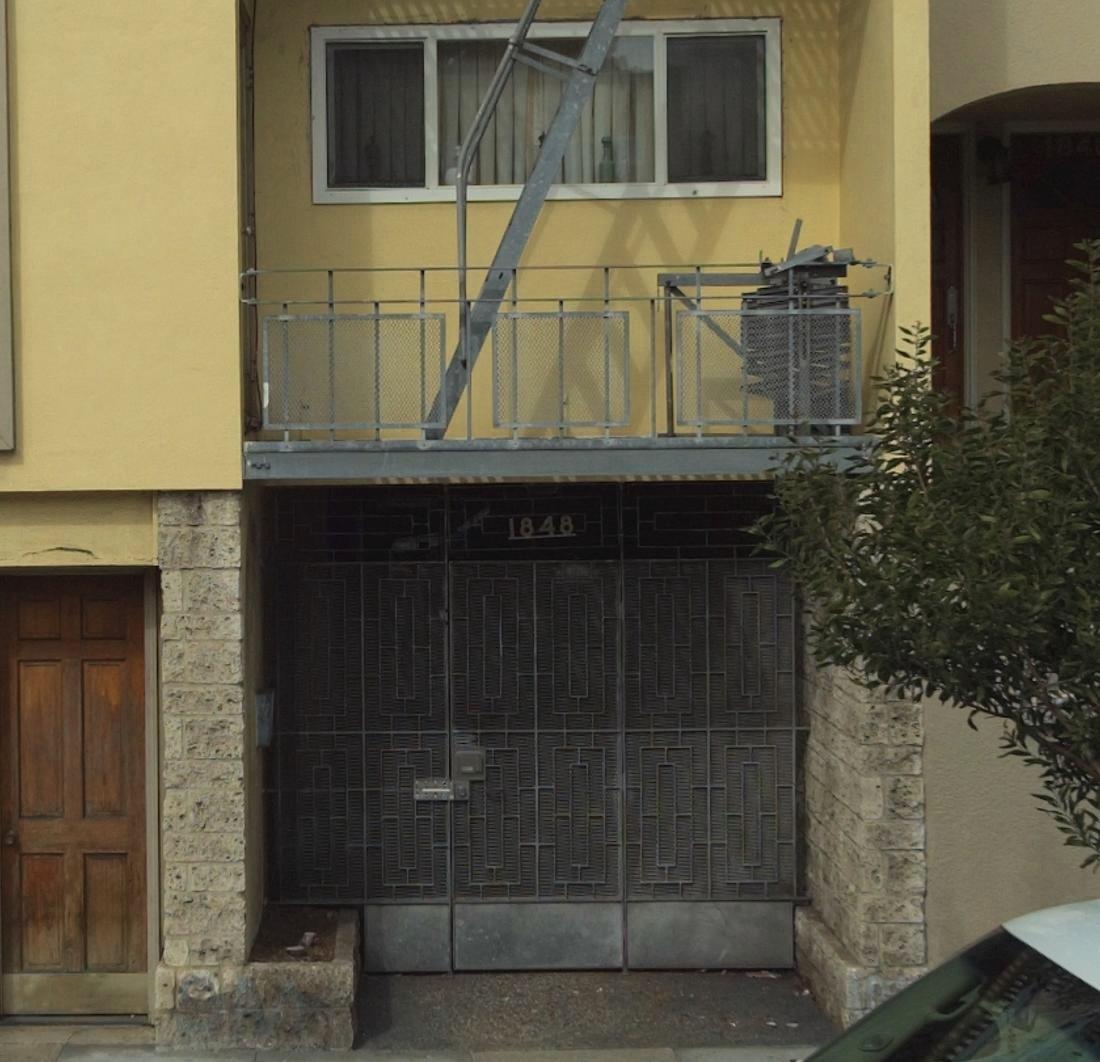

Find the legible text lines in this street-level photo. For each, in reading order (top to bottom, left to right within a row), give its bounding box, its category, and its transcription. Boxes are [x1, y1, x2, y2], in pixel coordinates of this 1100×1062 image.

[1038, 134, 1077, 160] StreetNumber: 18
[507, 513, 575, 538] StreetNumber: 1848